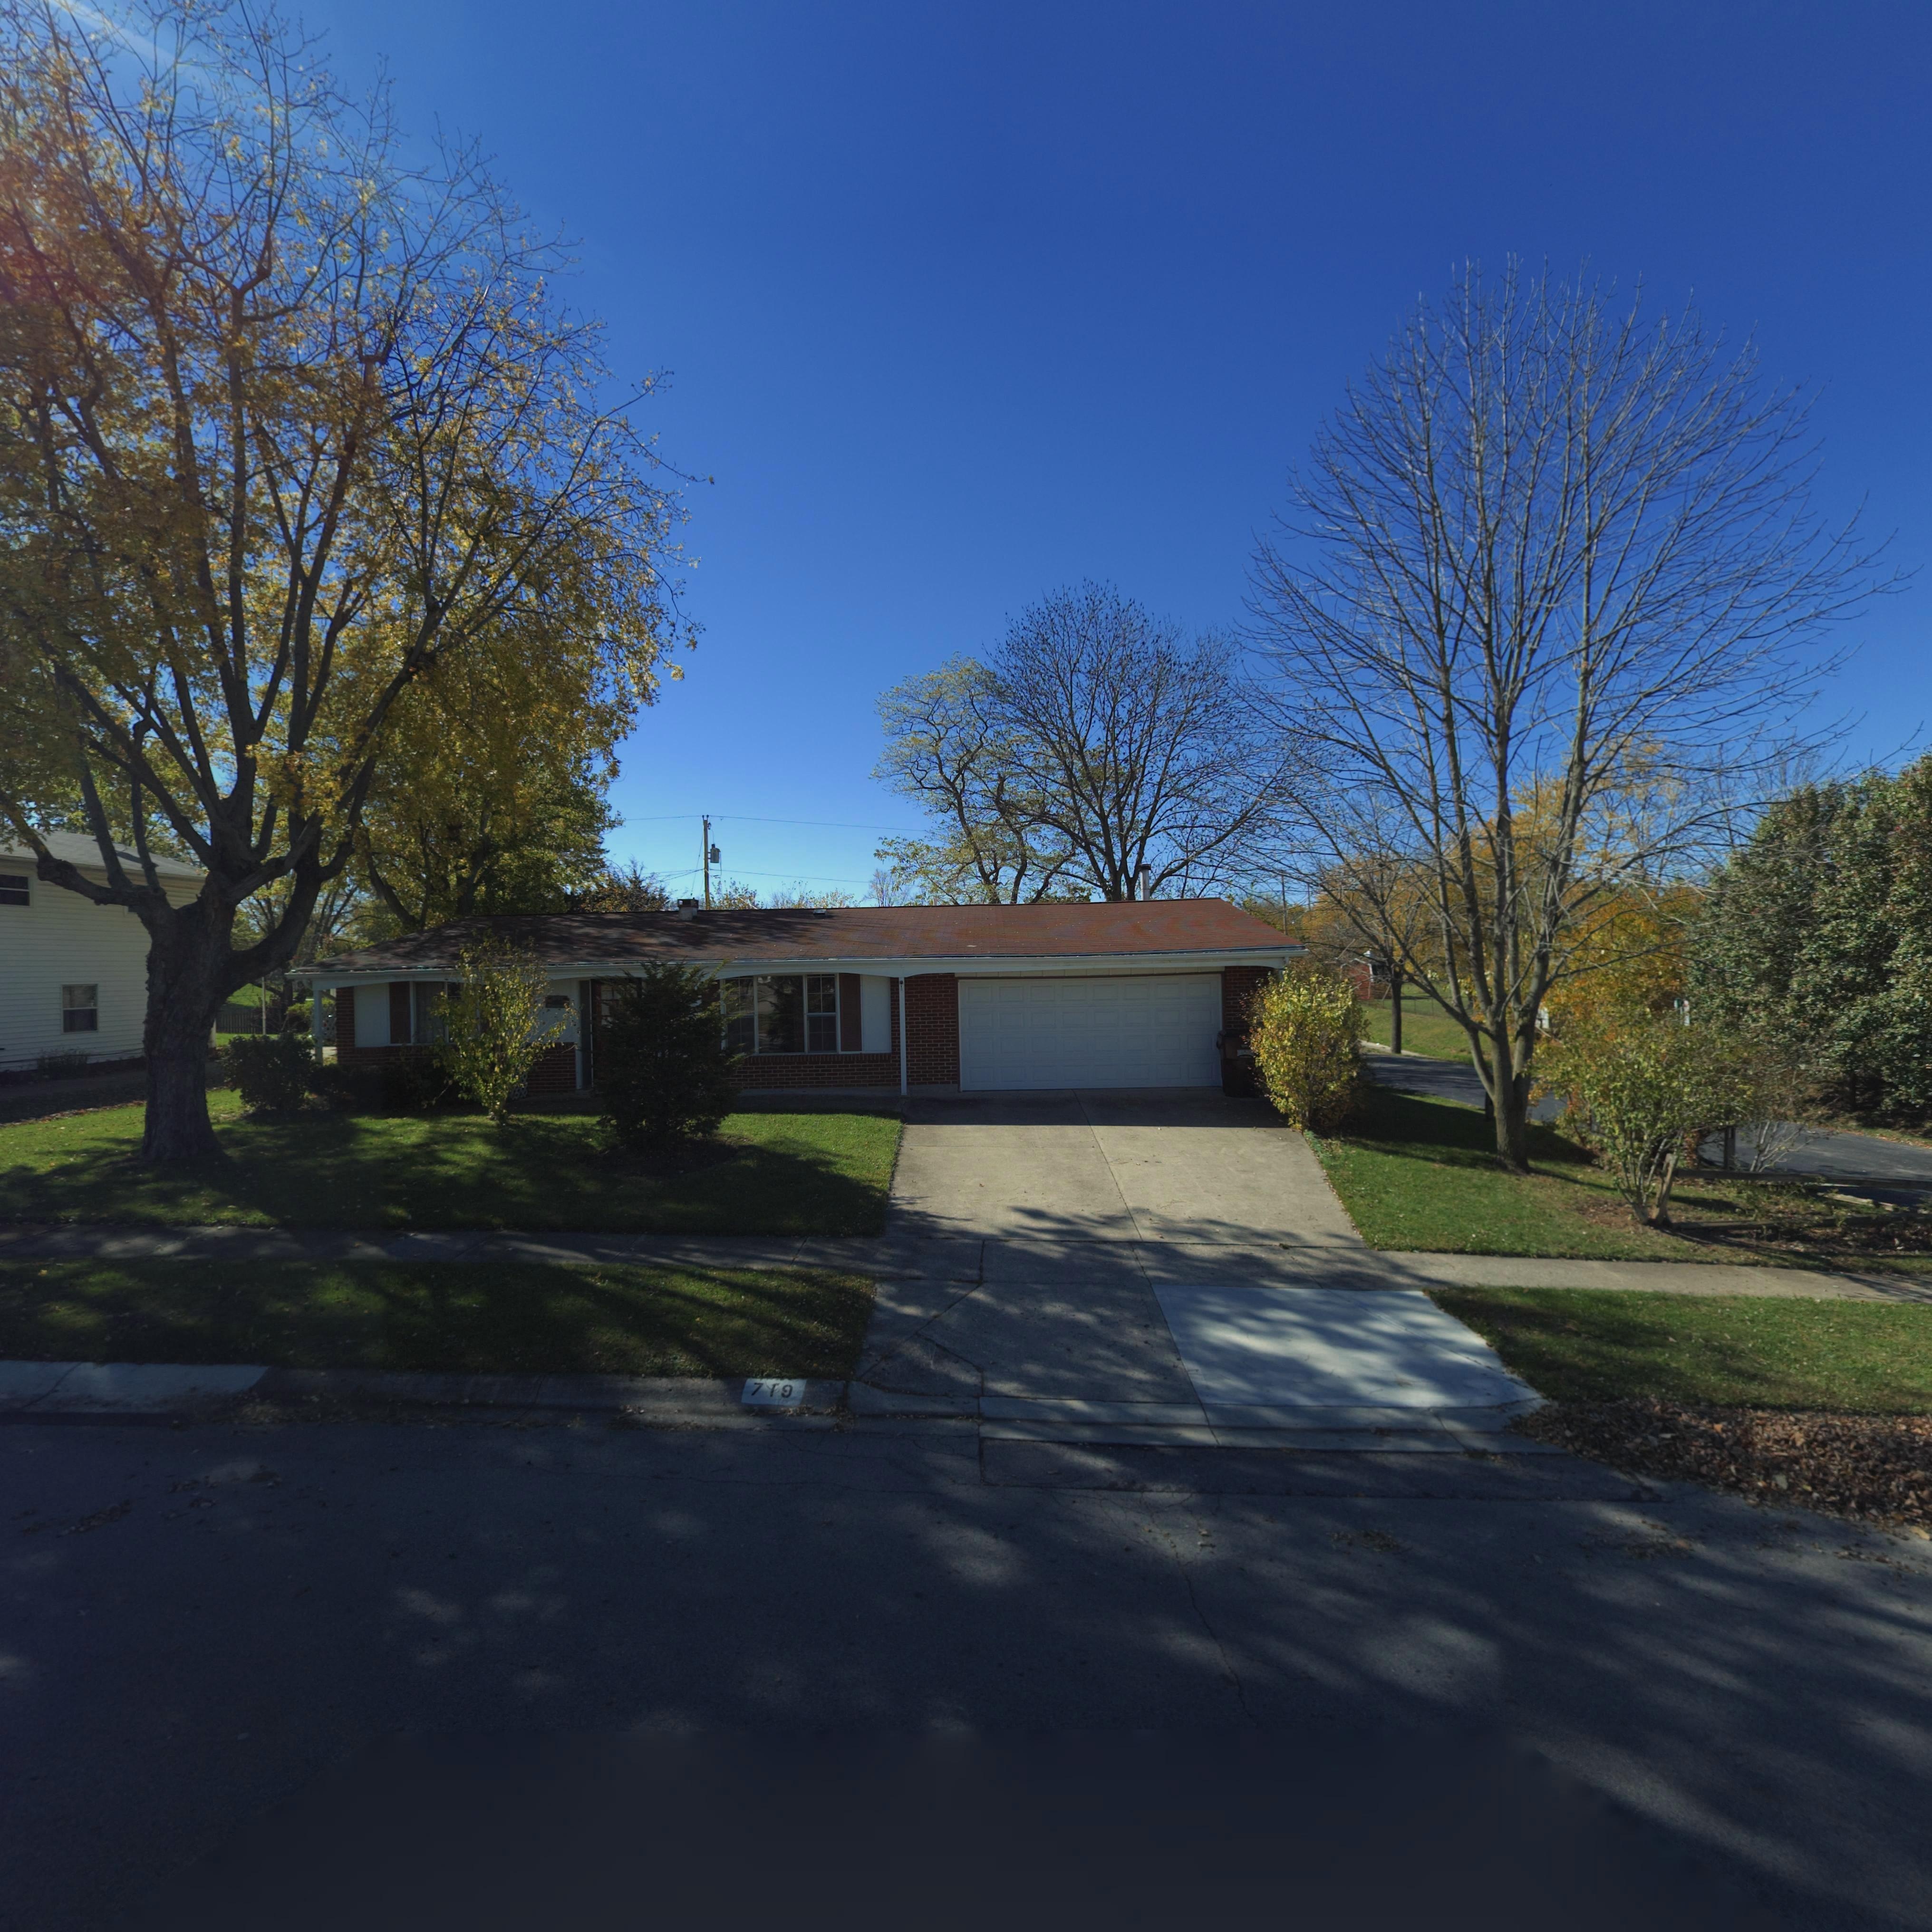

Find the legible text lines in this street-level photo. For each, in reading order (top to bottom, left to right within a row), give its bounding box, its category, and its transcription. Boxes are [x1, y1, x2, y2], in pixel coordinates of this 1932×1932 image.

[749, 1381, 794, 1401] StreetNumber: 719